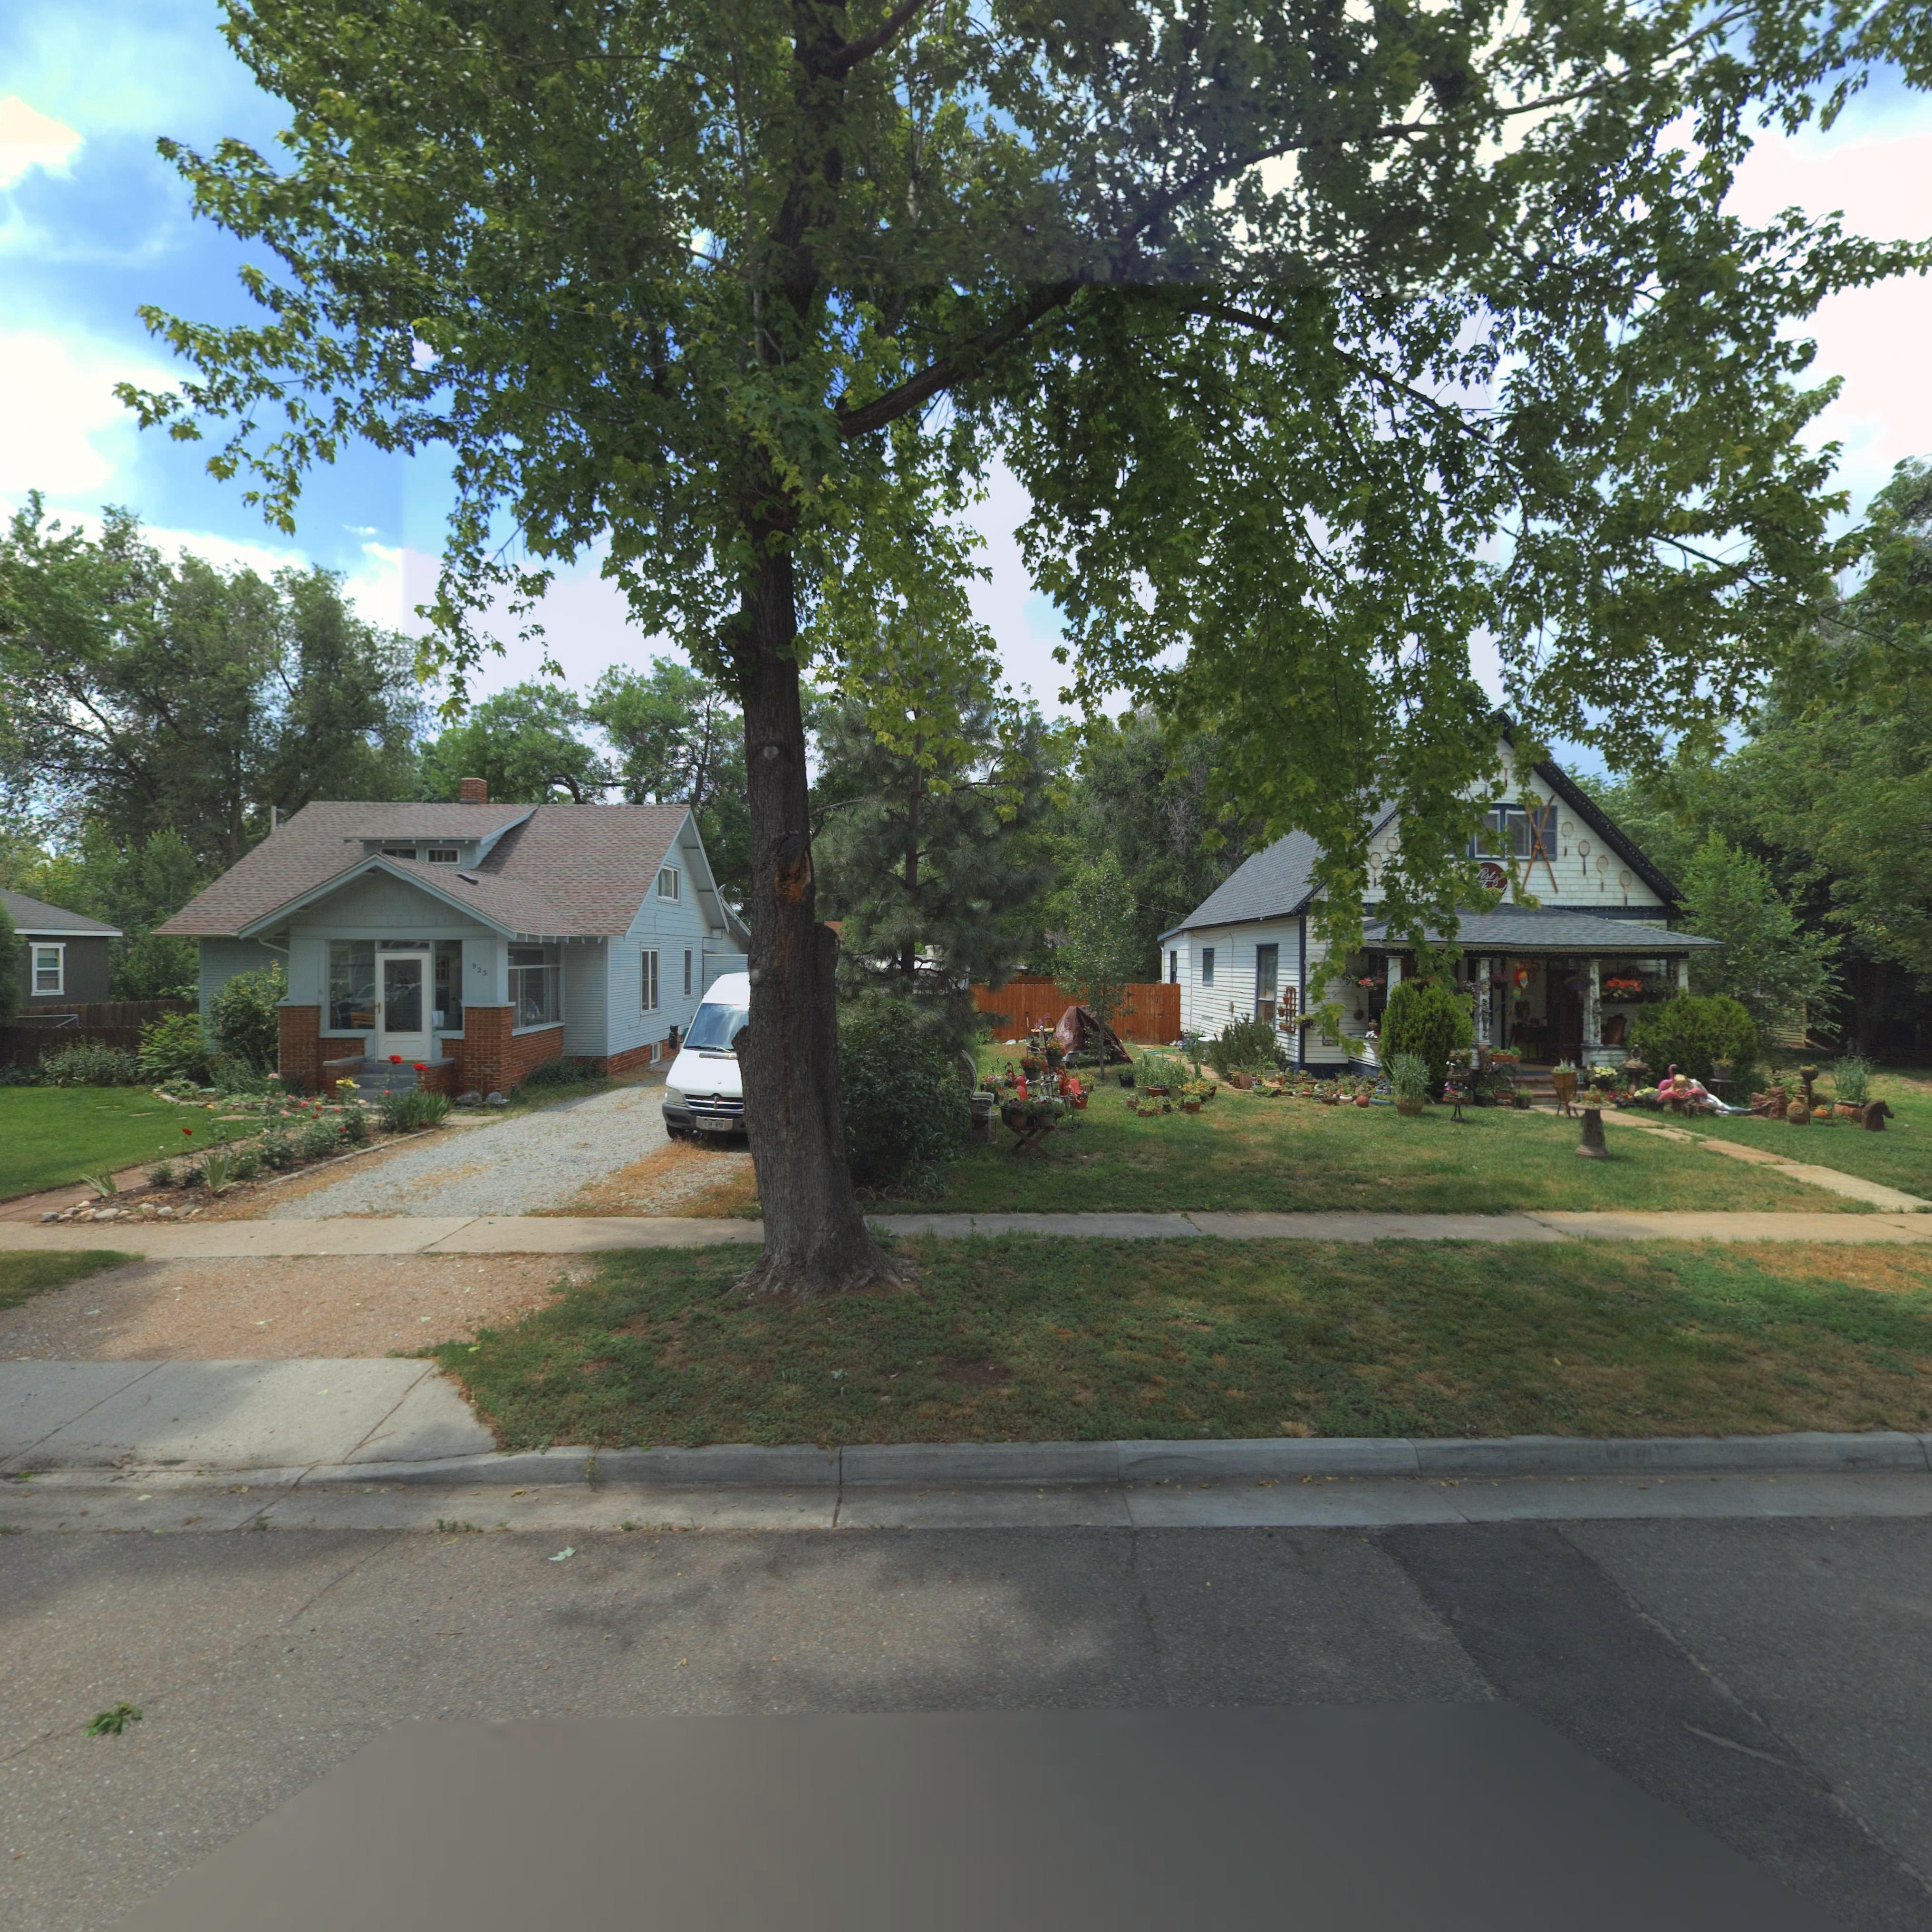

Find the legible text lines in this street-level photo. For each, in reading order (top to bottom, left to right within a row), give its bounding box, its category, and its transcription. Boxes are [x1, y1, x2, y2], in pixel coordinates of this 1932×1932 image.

[472, 963, 487, 976] StreetNumber: 923